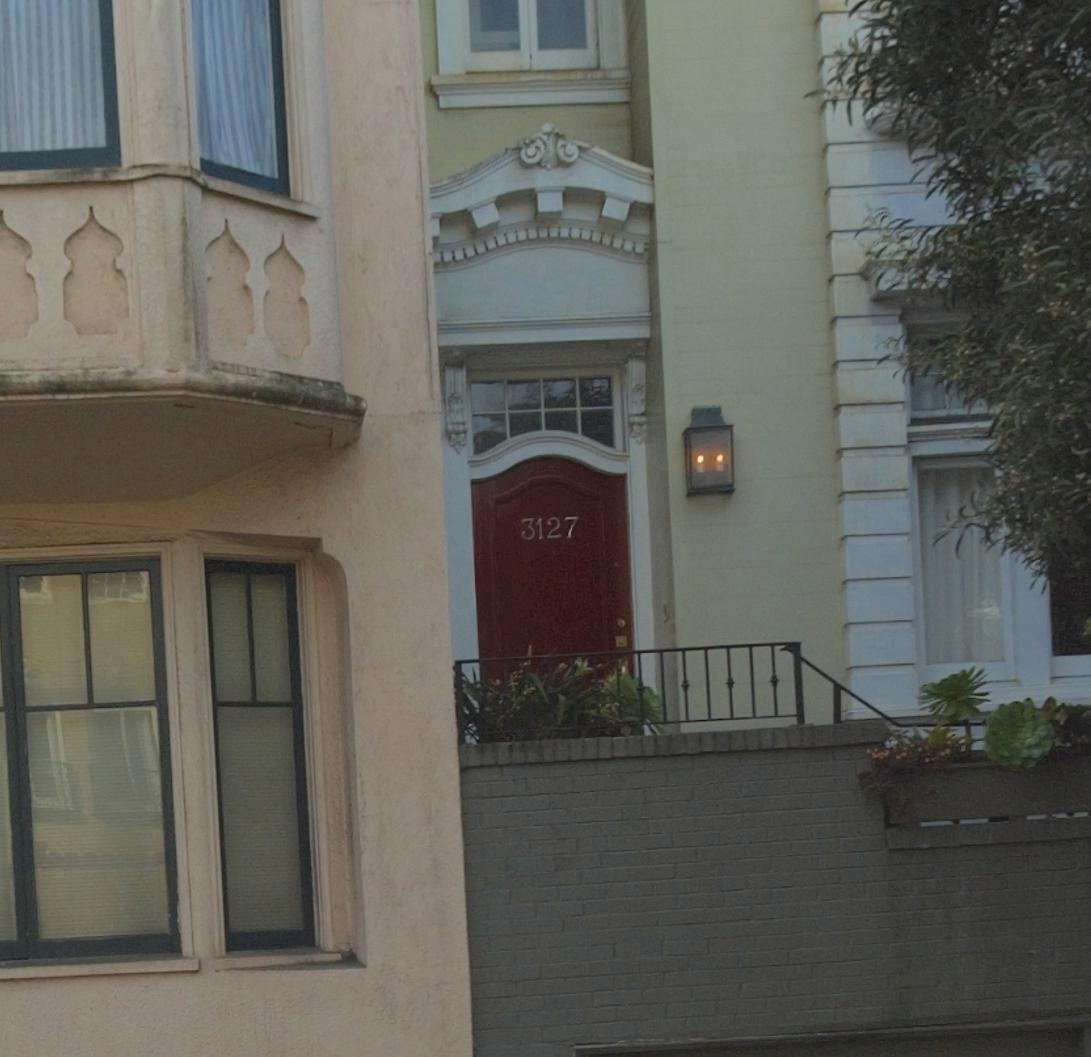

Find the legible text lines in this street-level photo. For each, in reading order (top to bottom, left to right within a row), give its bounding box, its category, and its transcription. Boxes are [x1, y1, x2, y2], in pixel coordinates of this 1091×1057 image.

[519, 514, 583, 543] StreetNumber: 3127